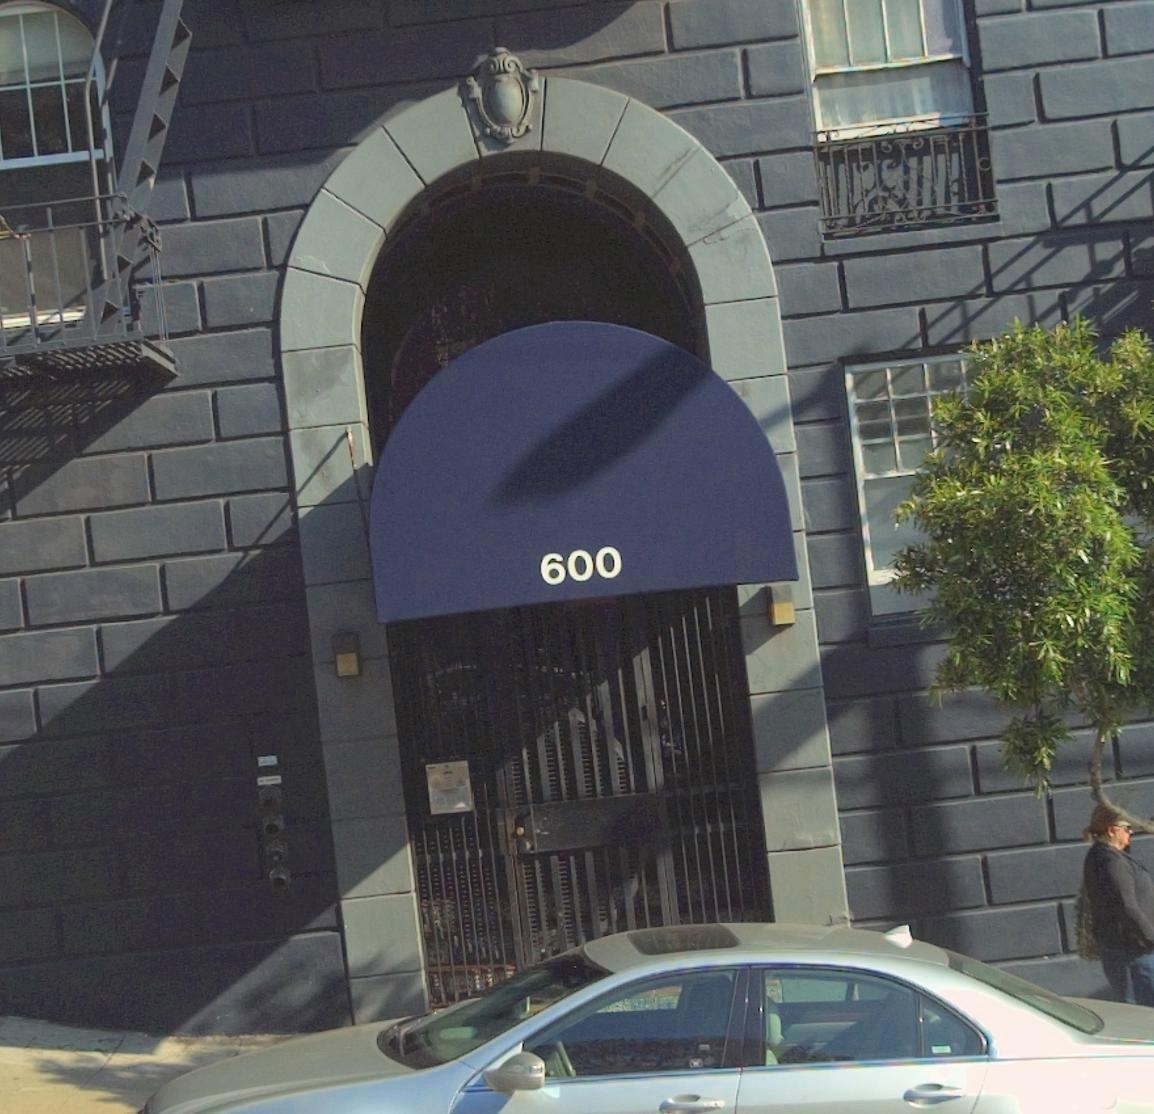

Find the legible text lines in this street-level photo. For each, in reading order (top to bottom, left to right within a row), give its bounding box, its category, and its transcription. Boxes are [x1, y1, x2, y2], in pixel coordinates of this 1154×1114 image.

[534, 539, 627, 591] StreetNumber: 600